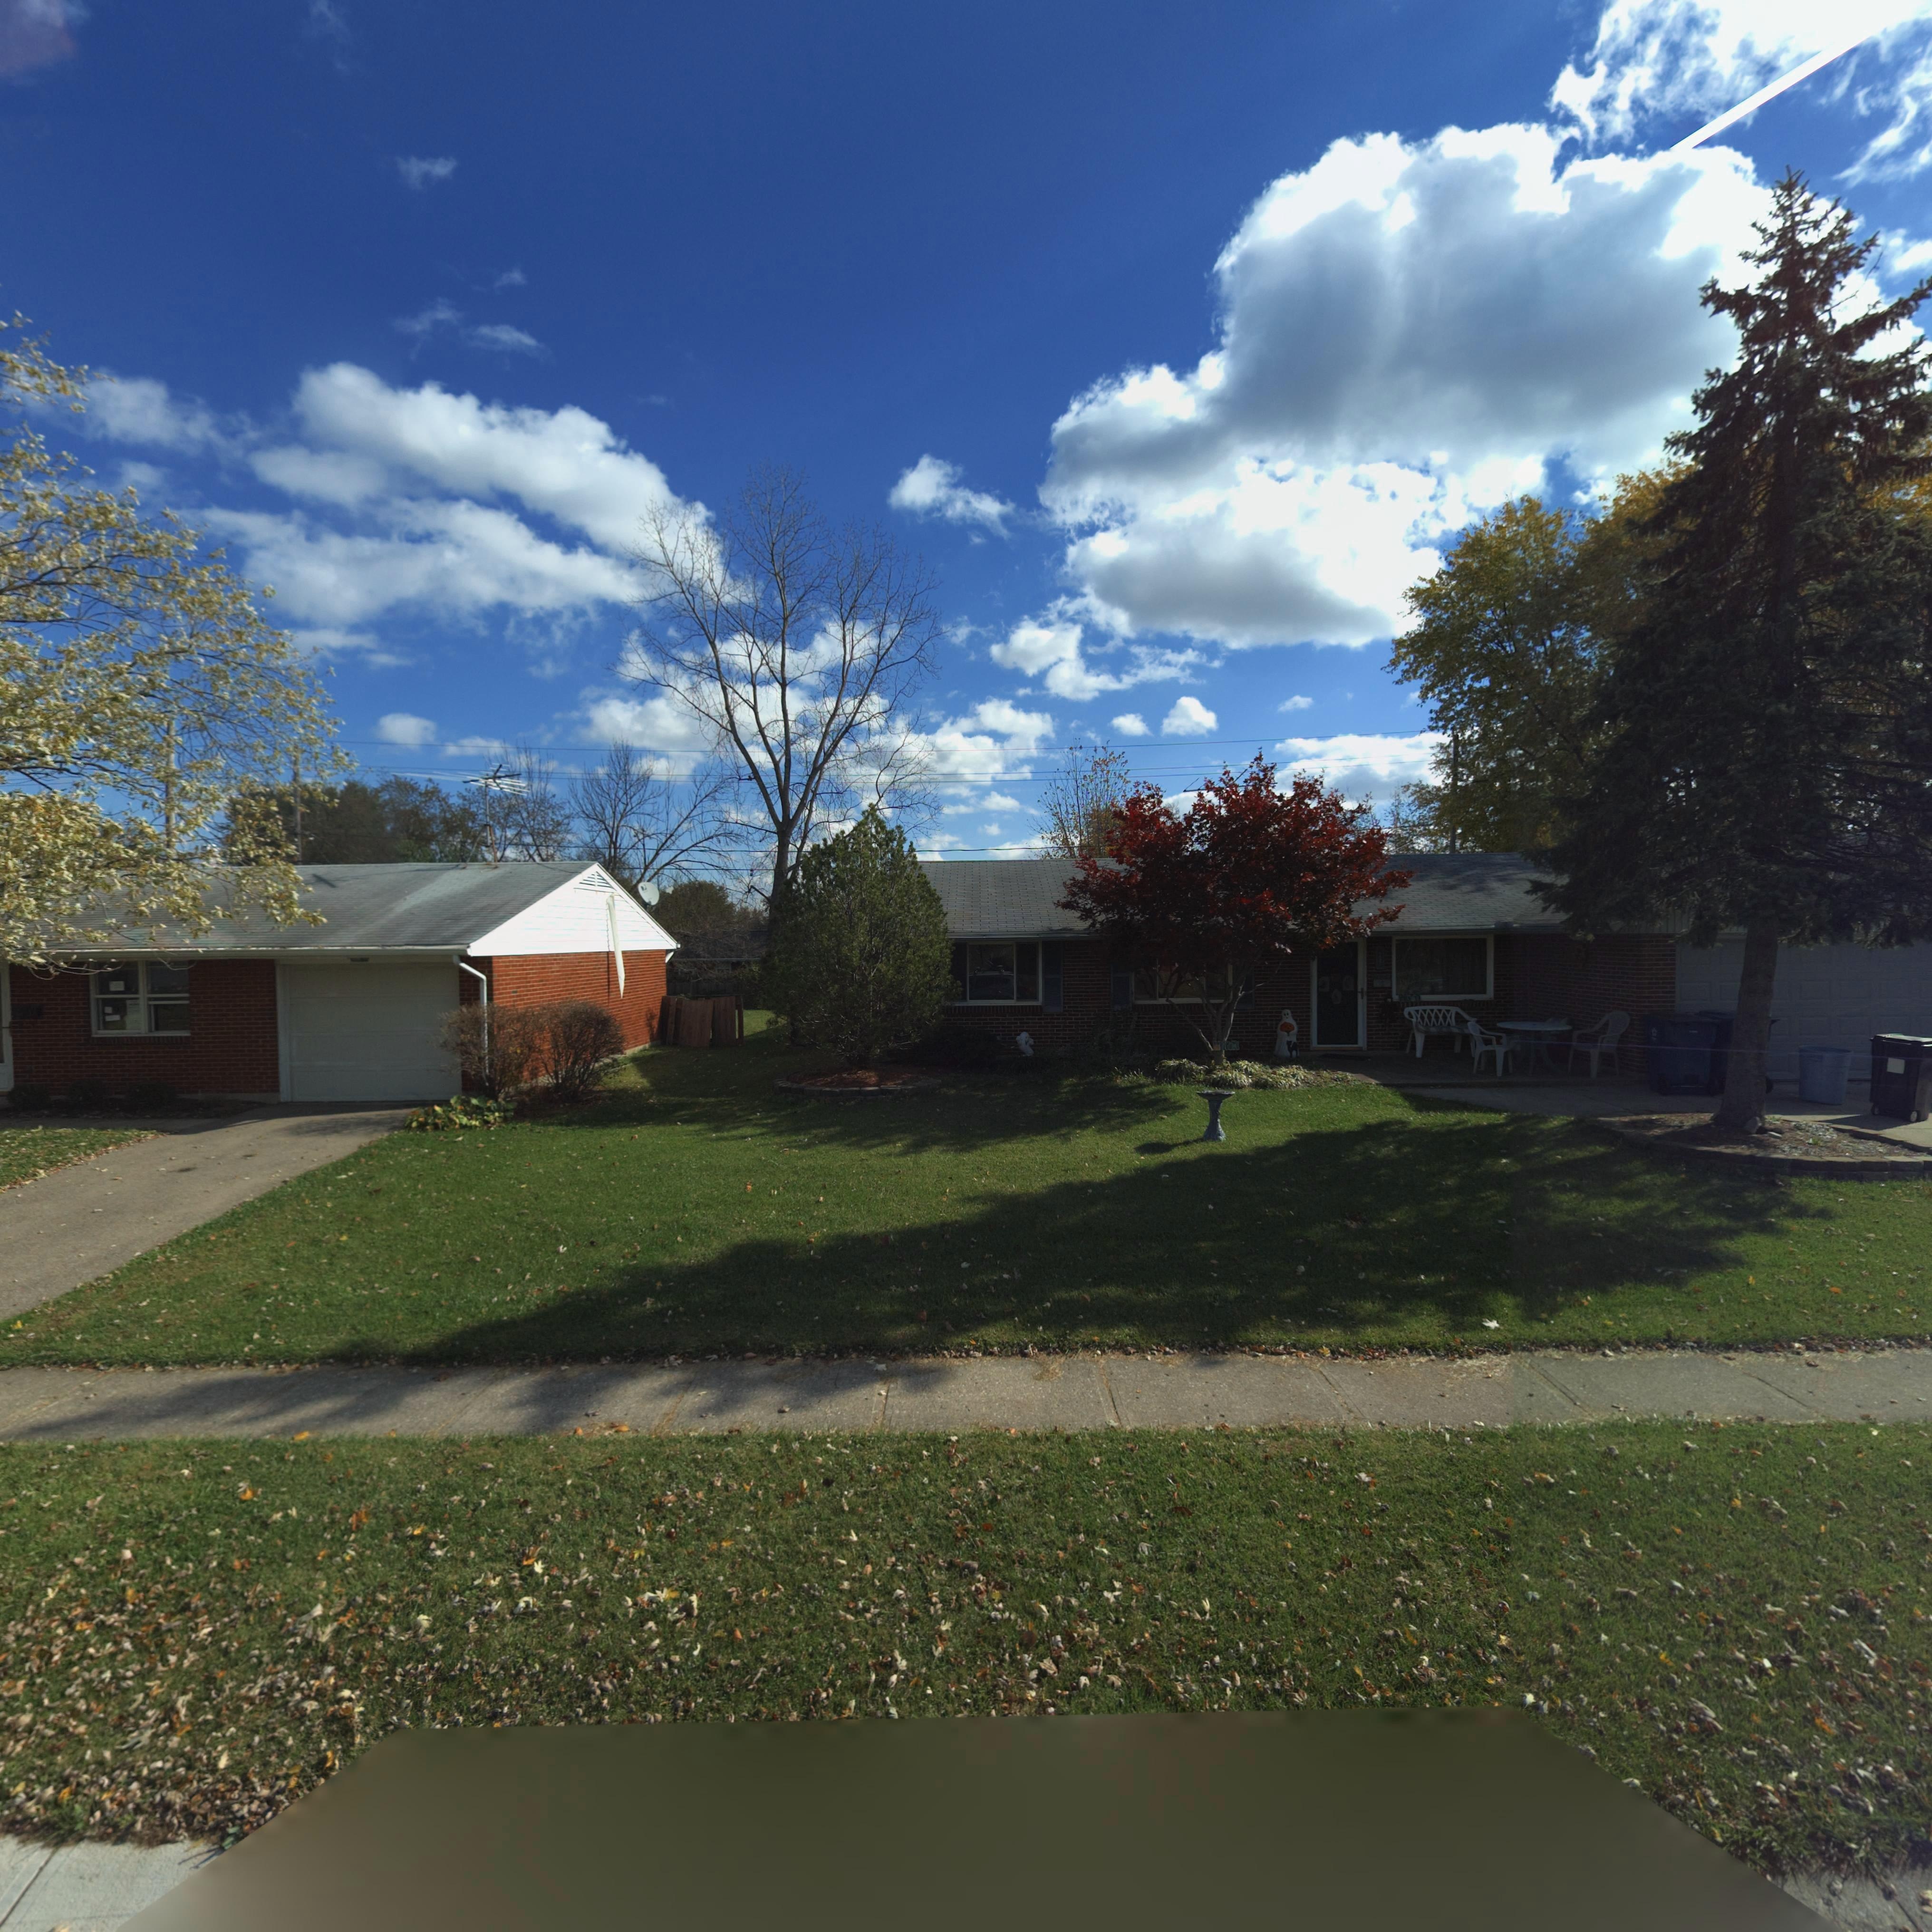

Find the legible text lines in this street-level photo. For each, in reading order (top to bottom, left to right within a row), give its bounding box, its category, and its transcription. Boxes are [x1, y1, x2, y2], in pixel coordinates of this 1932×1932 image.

[1378, 952, 1382, 958] StreetNumber: 7